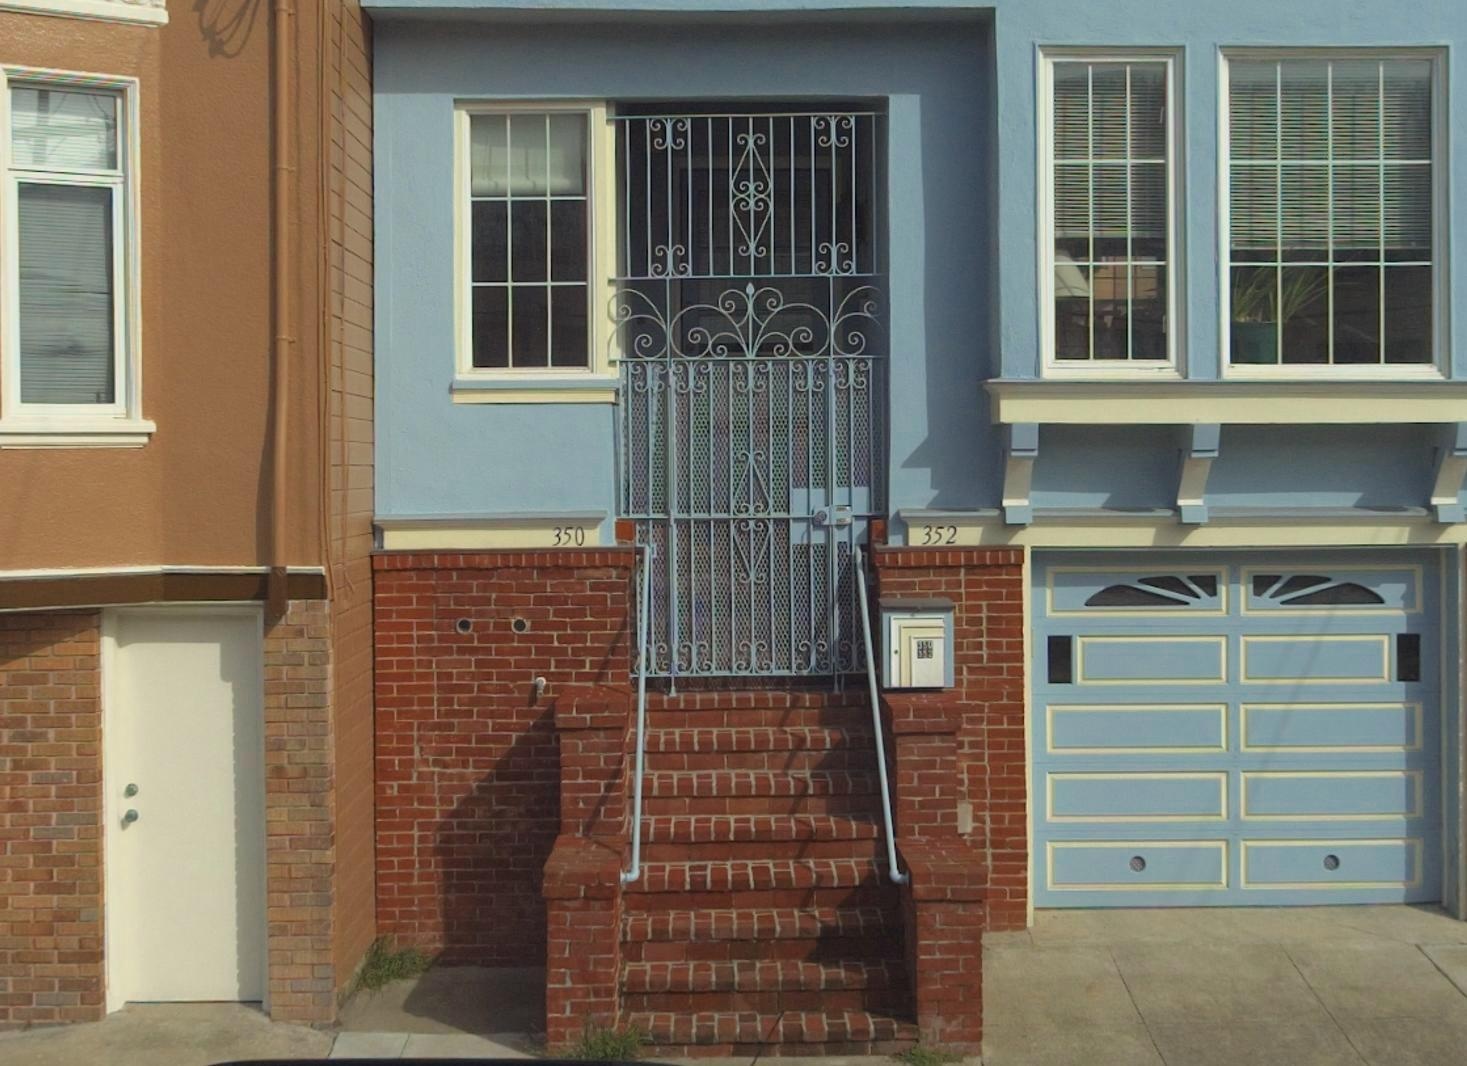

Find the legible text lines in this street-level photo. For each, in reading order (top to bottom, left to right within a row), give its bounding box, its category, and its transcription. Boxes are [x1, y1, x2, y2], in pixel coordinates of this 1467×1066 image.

[551, 525, 586, 547] StreetNumber: 350
[921, 524, 959, 546] StreetNumber: 352